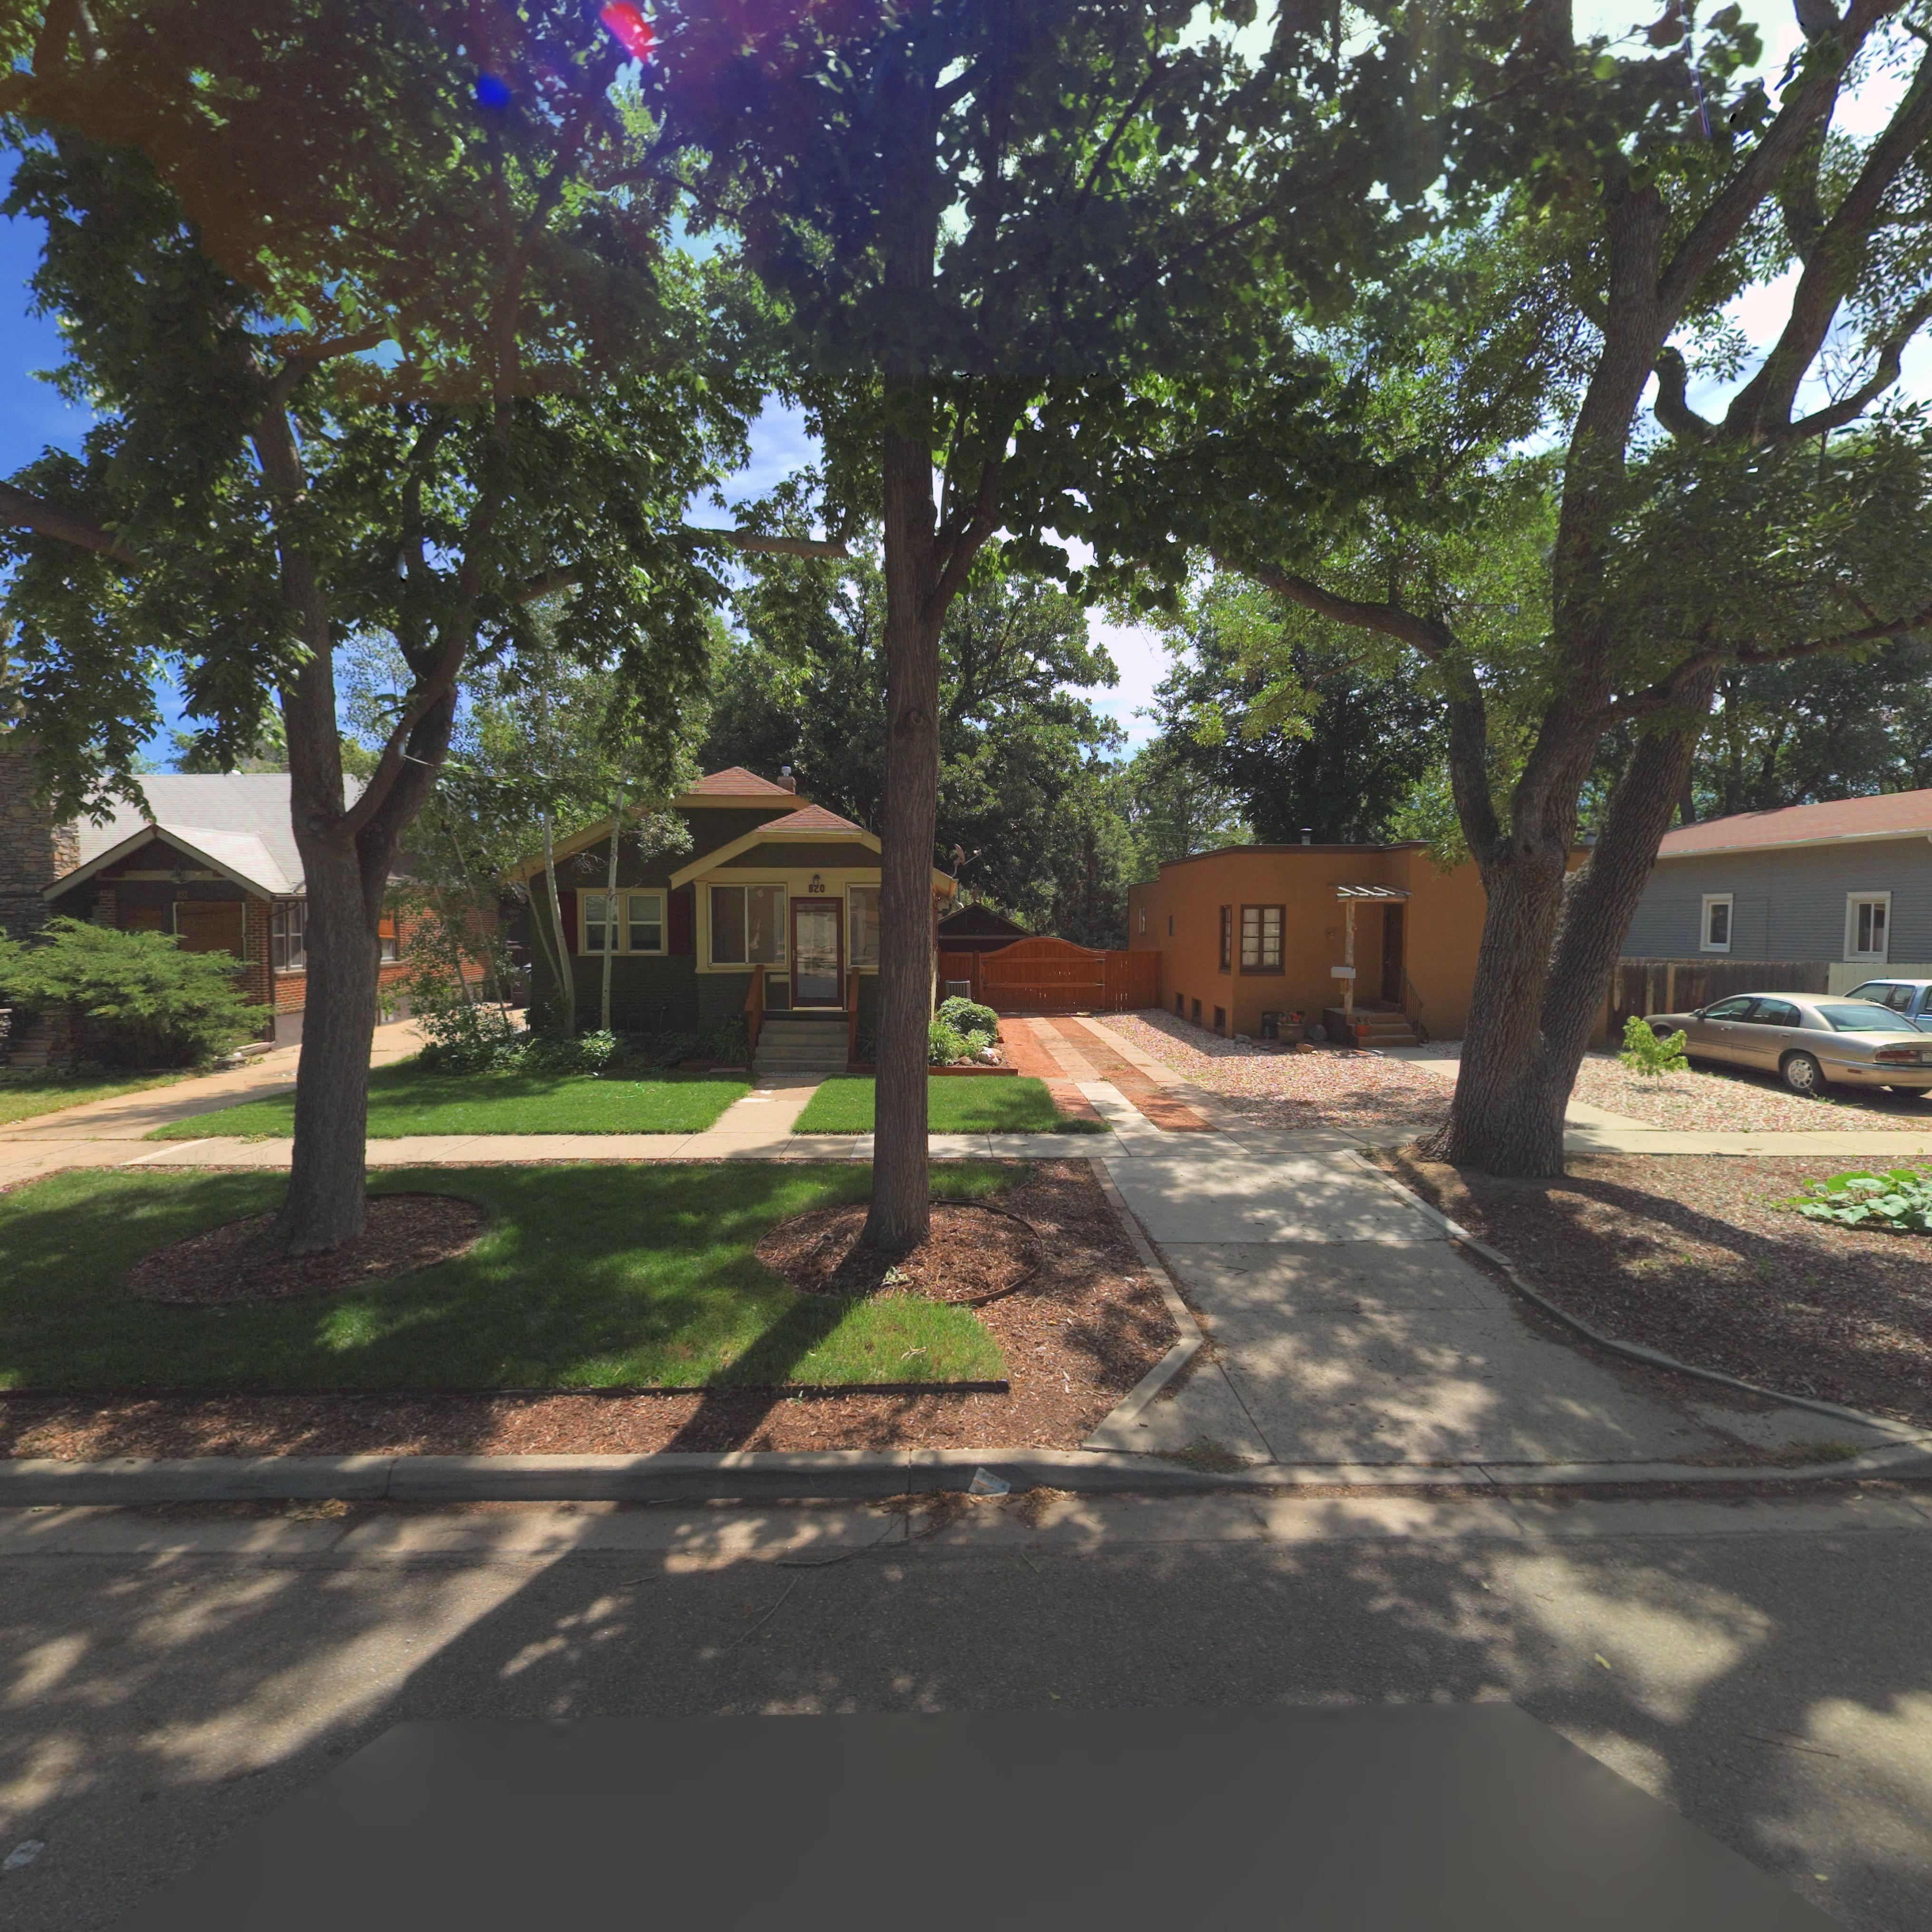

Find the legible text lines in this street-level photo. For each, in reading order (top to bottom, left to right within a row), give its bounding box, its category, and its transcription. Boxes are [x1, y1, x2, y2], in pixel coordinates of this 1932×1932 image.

[808, 884, 825, 893] StreetNumber: 820